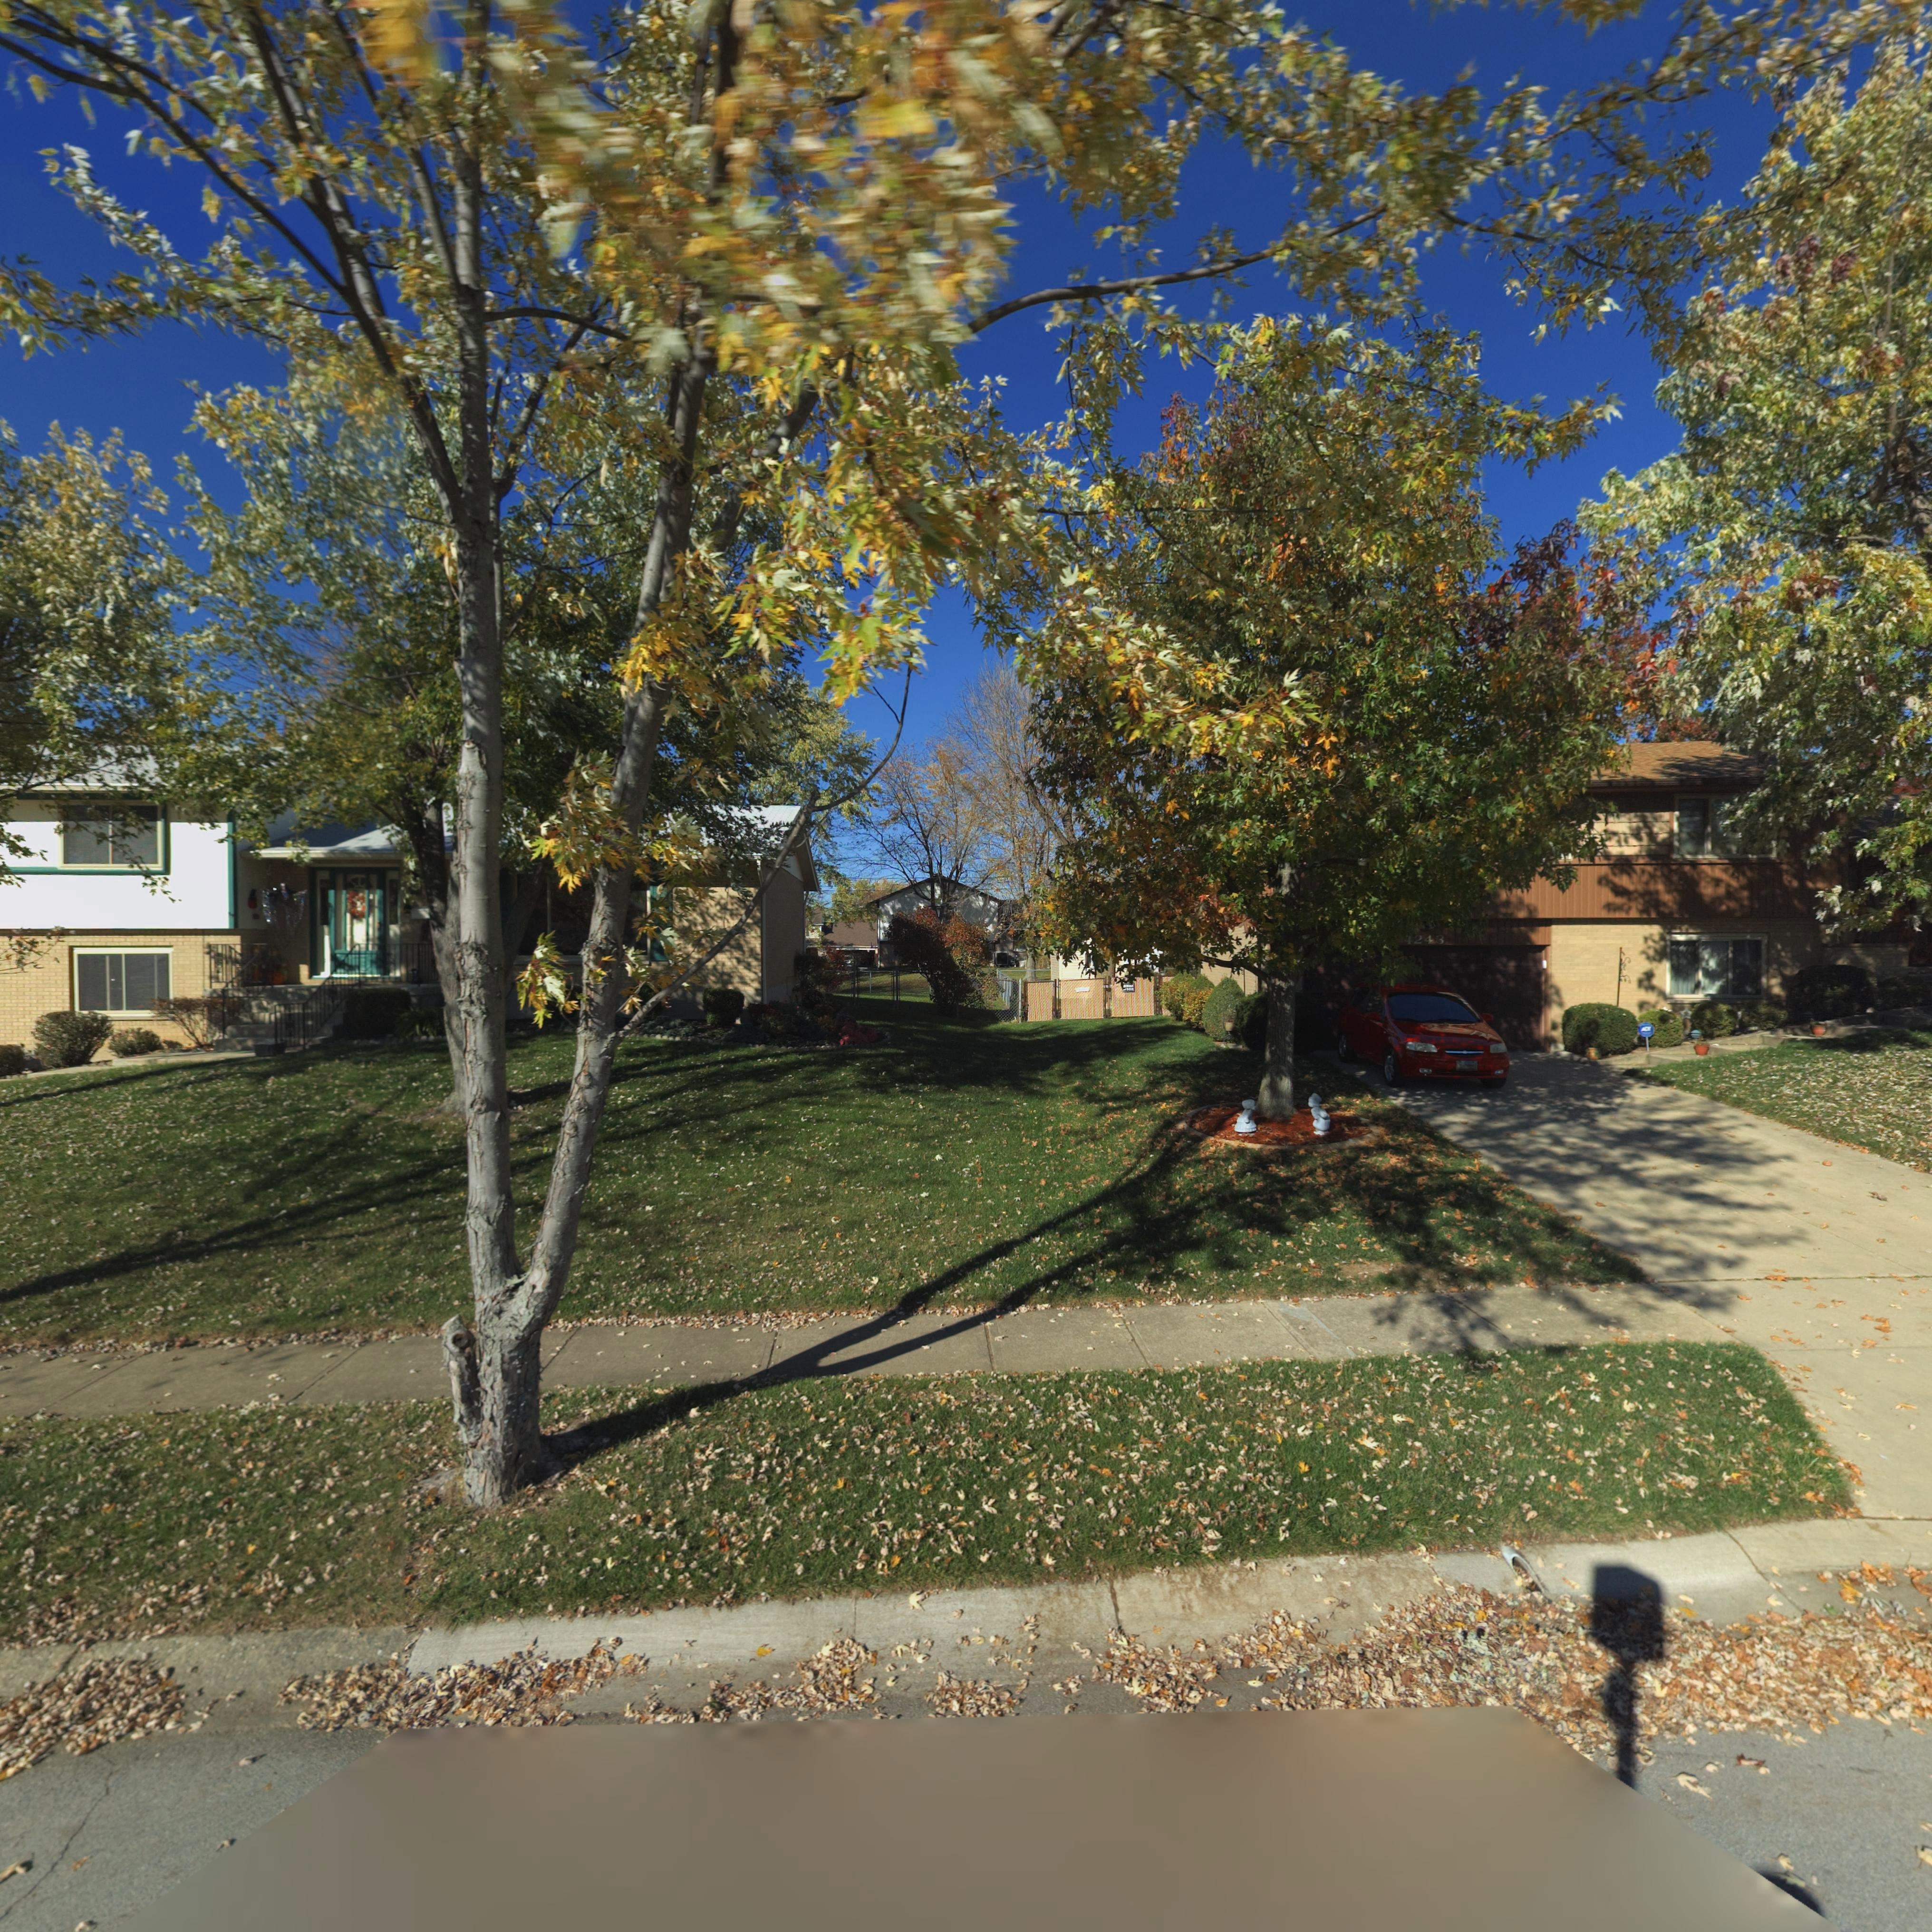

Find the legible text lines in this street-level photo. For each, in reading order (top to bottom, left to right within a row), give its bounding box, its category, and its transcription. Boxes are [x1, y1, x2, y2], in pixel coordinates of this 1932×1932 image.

[1403, 933, 1446, 946] StreetNumber: 4243